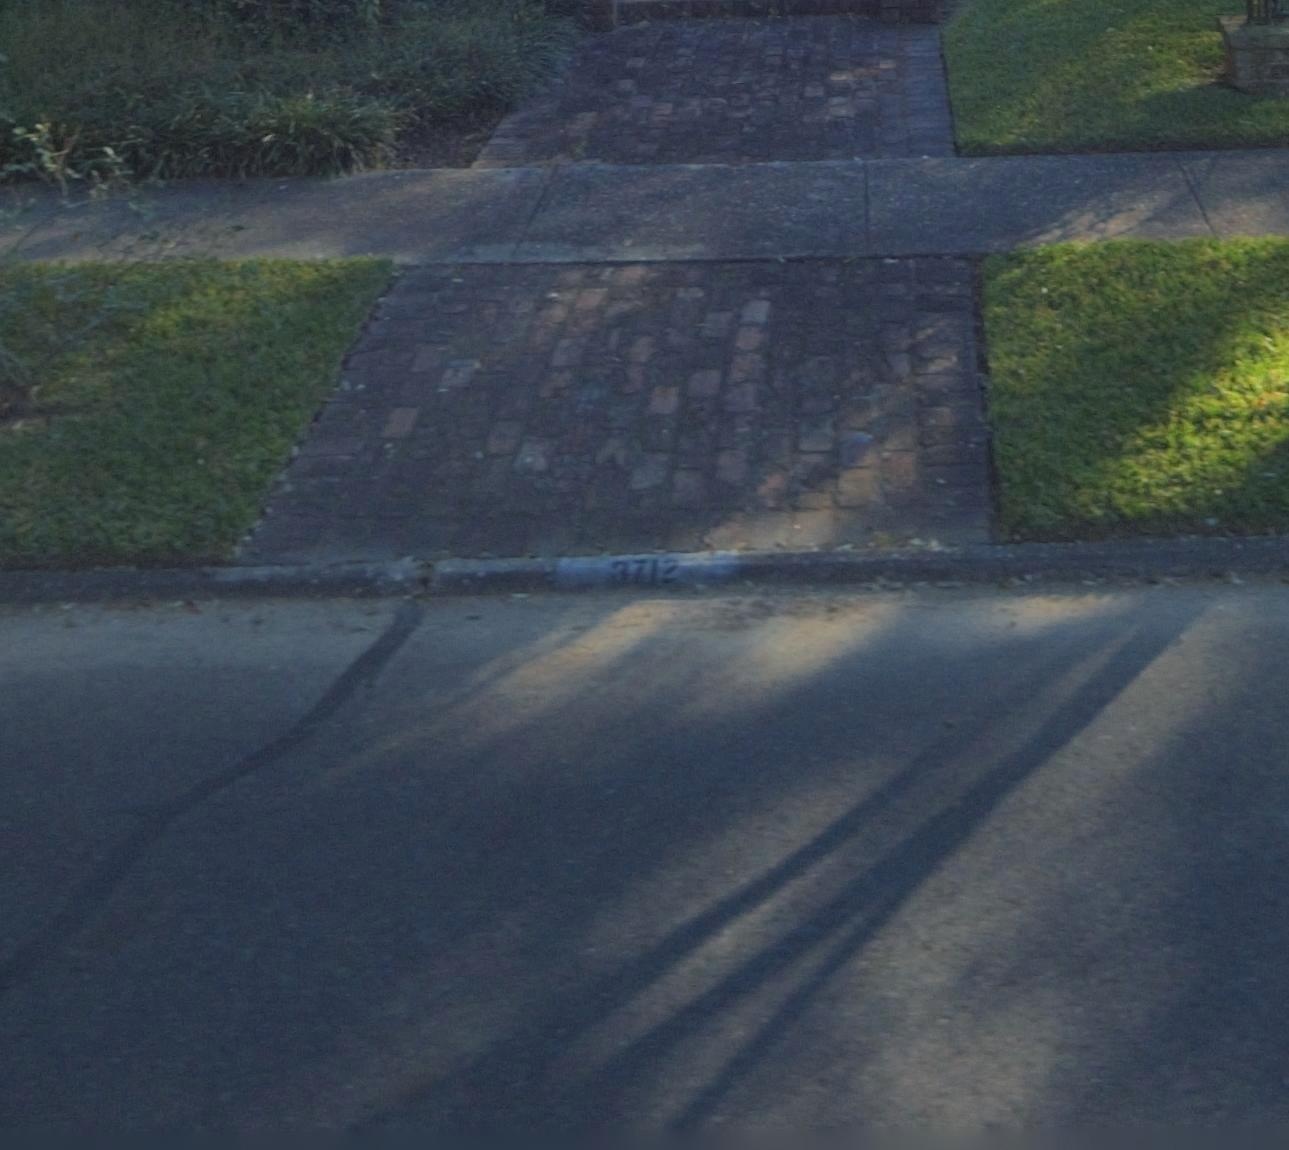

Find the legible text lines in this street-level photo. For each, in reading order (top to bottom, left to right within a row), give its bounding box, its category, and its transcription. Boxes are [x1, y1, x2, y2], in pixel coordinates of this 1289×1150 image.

[608, 556, 683, 588] StreetNumber: 3712